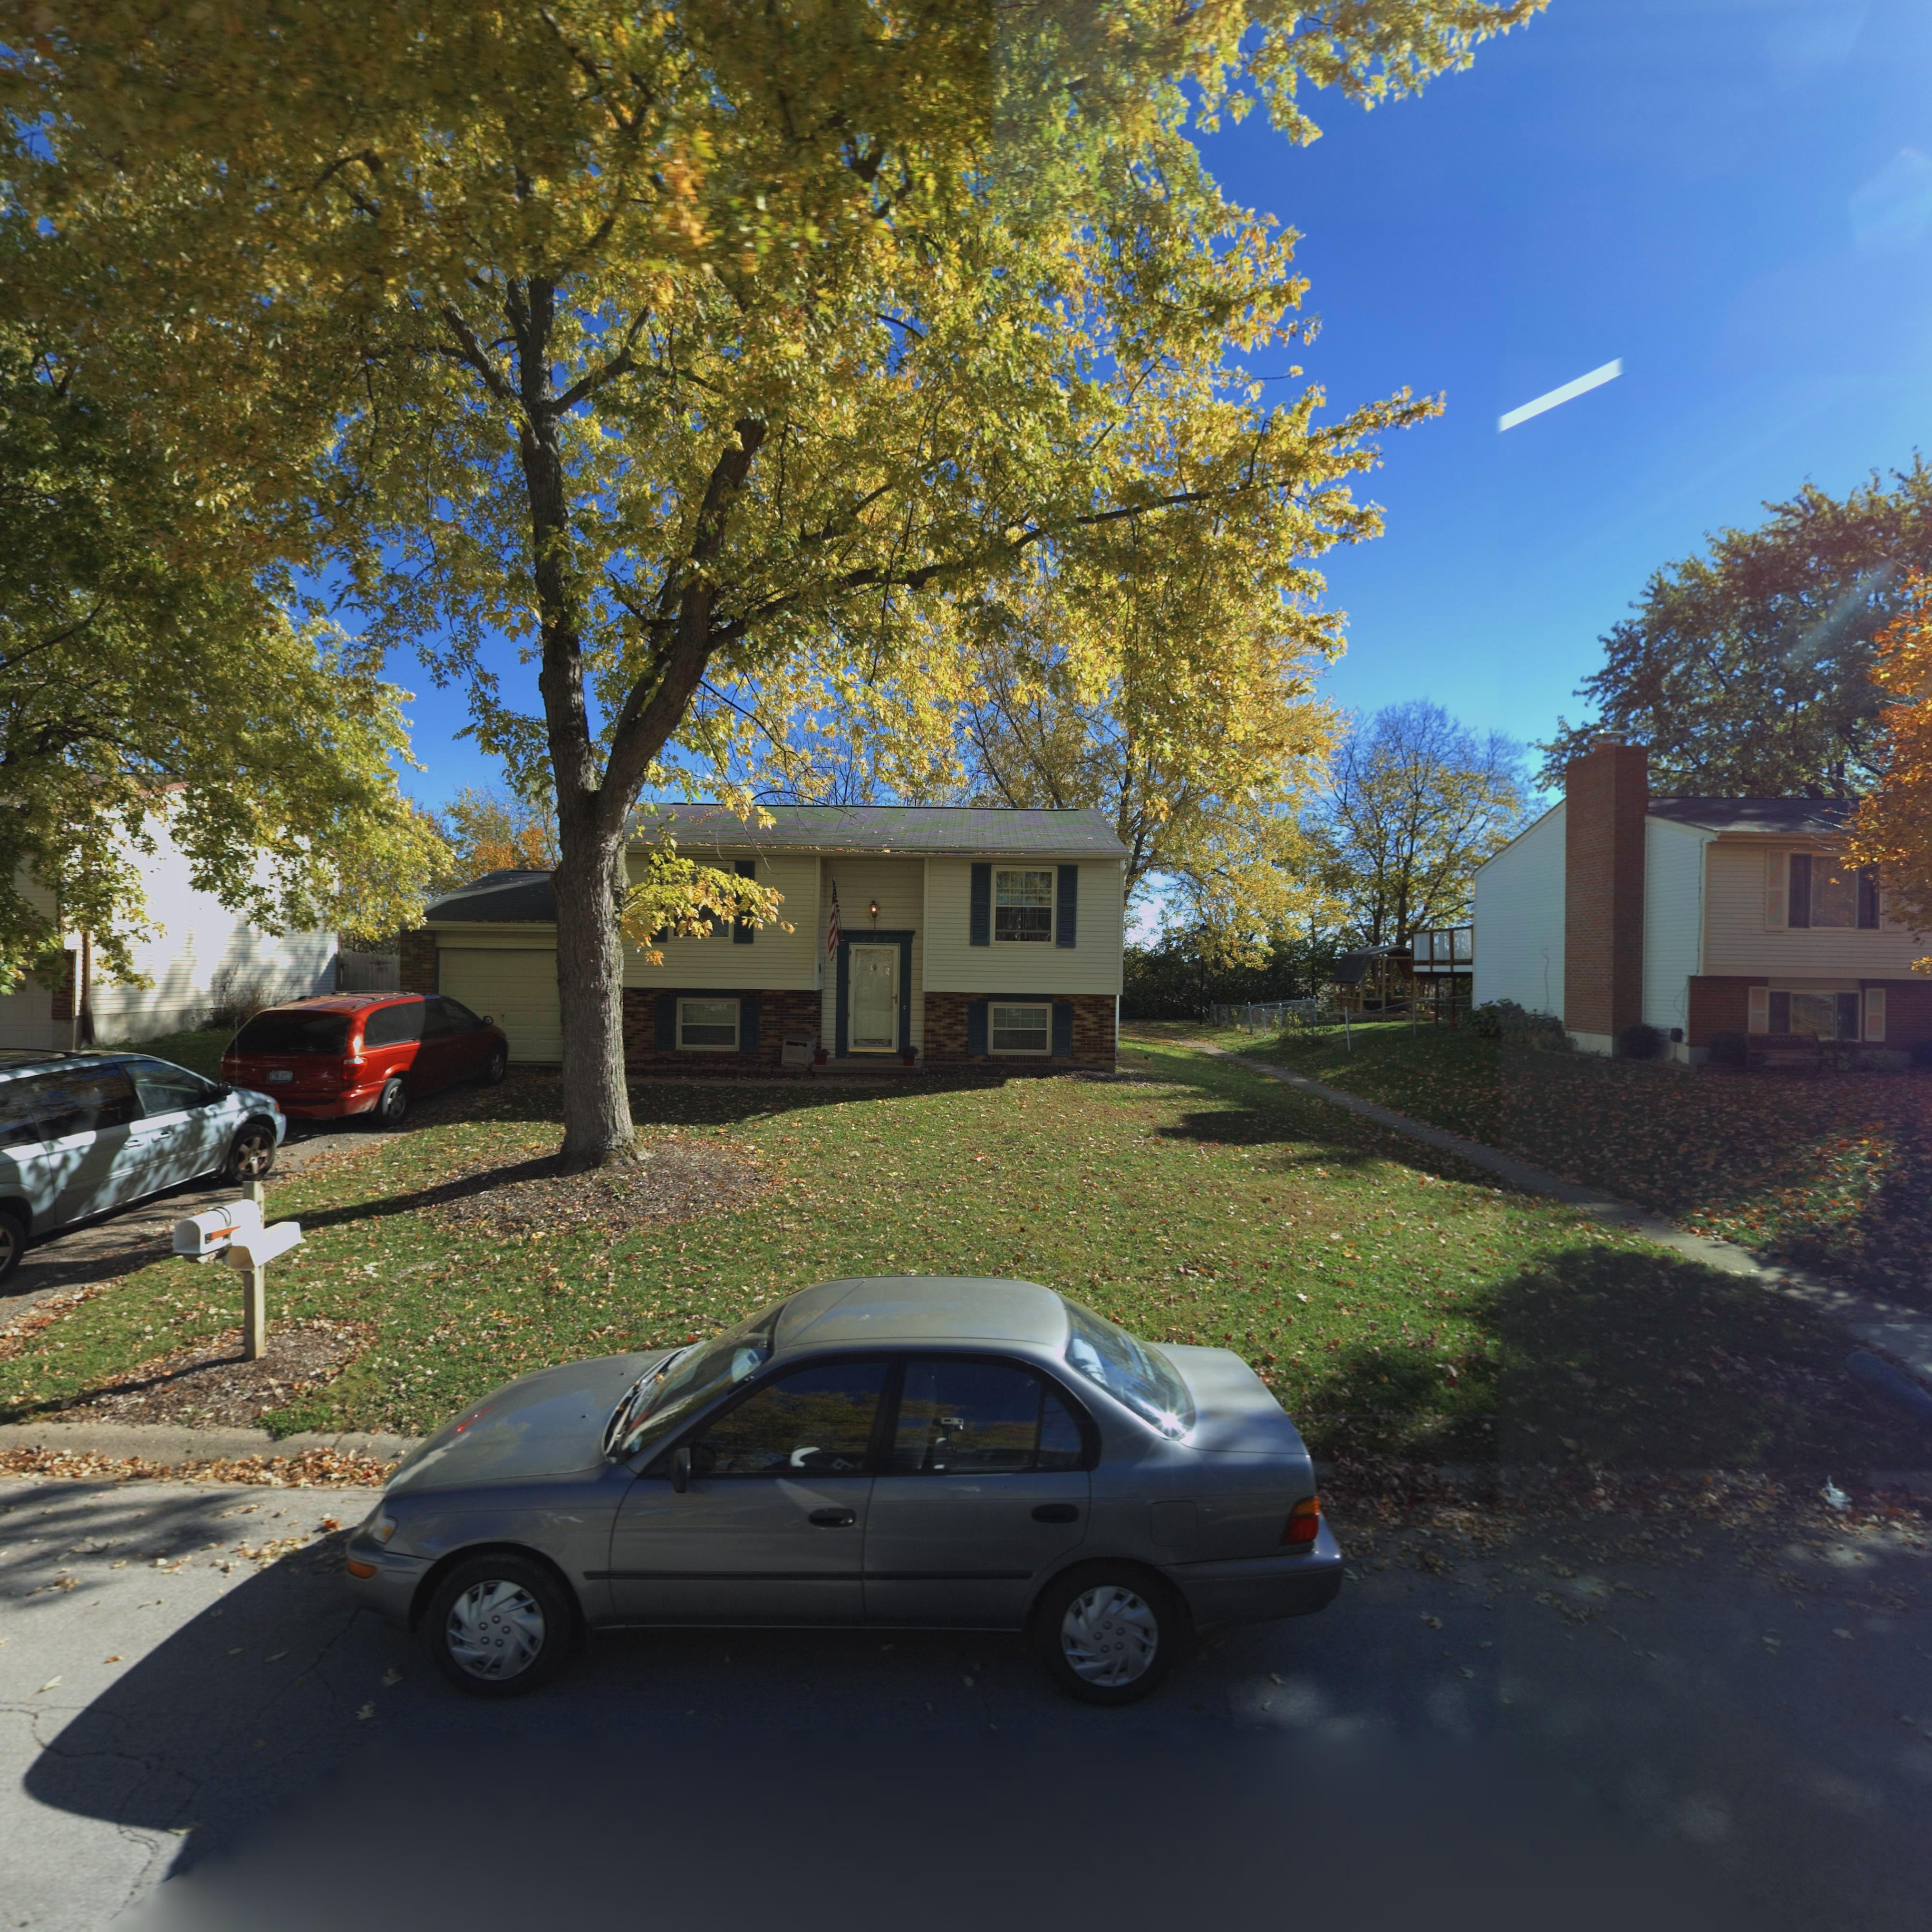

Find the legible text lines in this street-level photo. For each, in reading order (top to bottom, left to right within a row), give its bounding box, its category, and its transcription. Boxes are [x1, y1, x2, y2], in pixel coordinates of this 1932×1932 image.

[861, 934, 890, 943] StreetNumber: 129